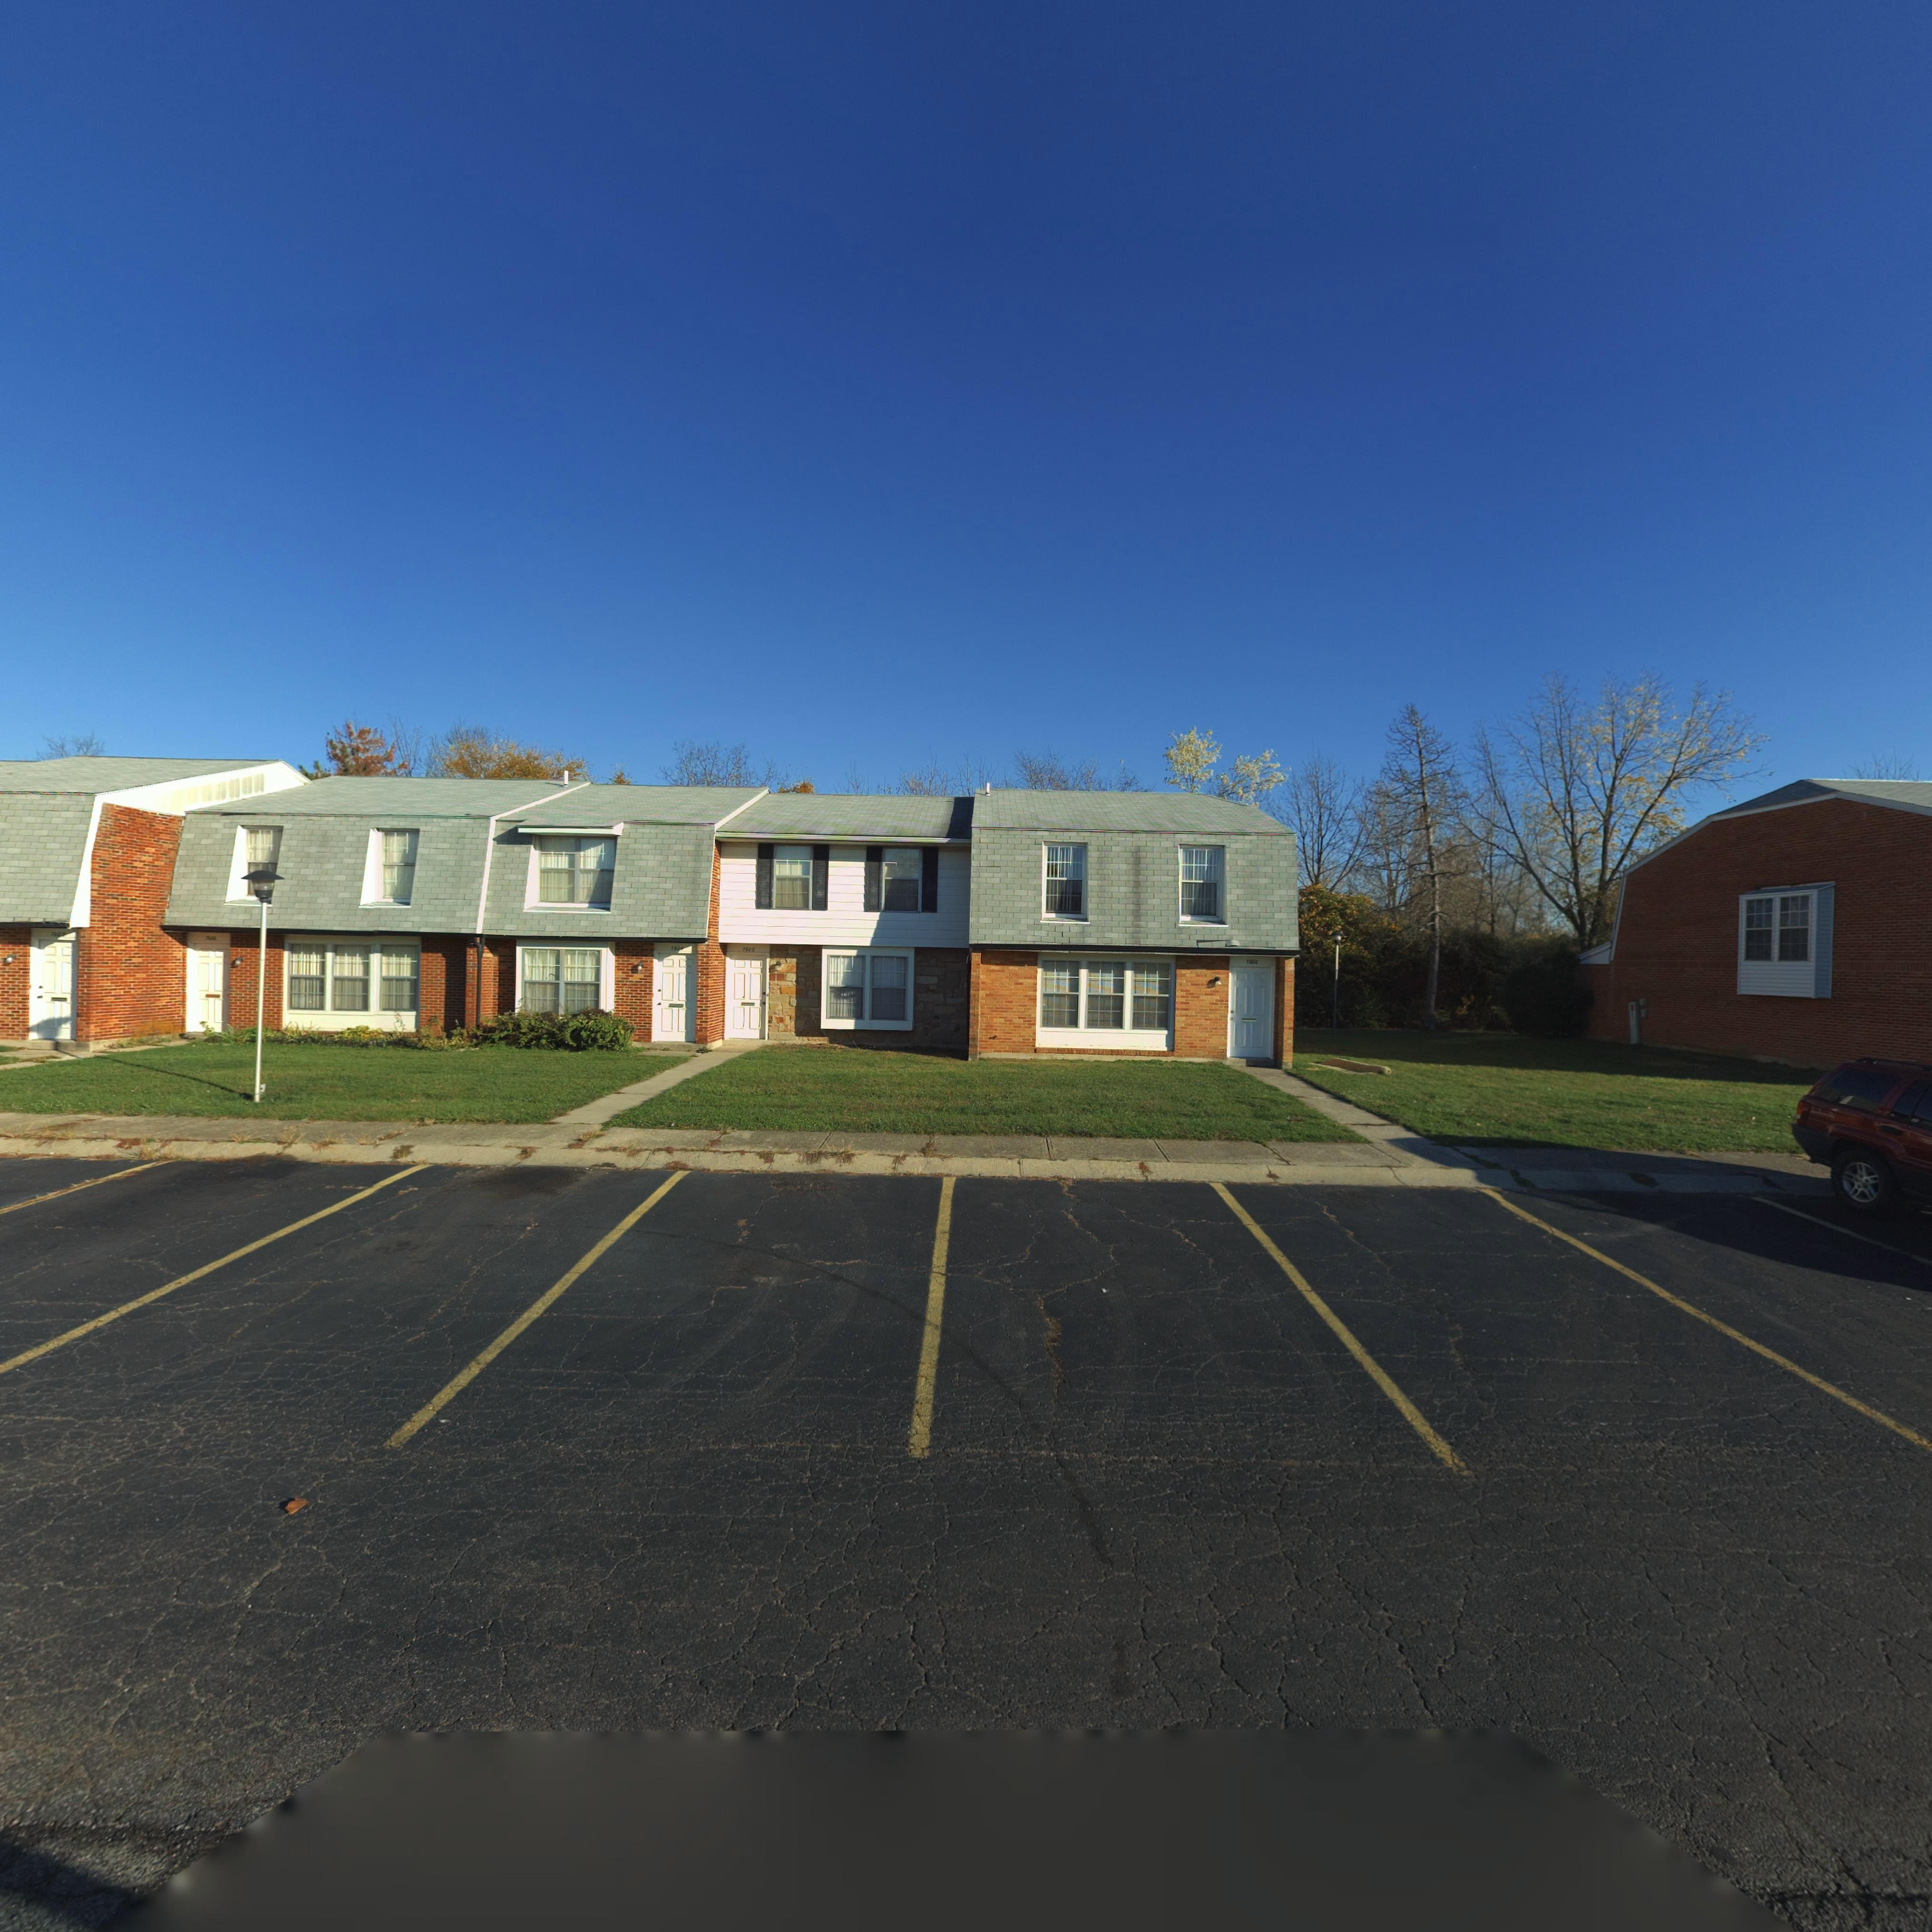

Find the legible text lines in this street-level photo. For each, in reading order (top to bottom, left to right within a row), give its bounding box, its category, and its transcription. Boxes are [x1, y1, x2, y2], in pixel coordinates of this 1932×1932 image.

[670, 945, 685, 952] StreetNumber: 760*
[742, 946, 756, 953] StreetNumber: 7602
[1245, 958, 1260, 966] StreetNumber: 7600